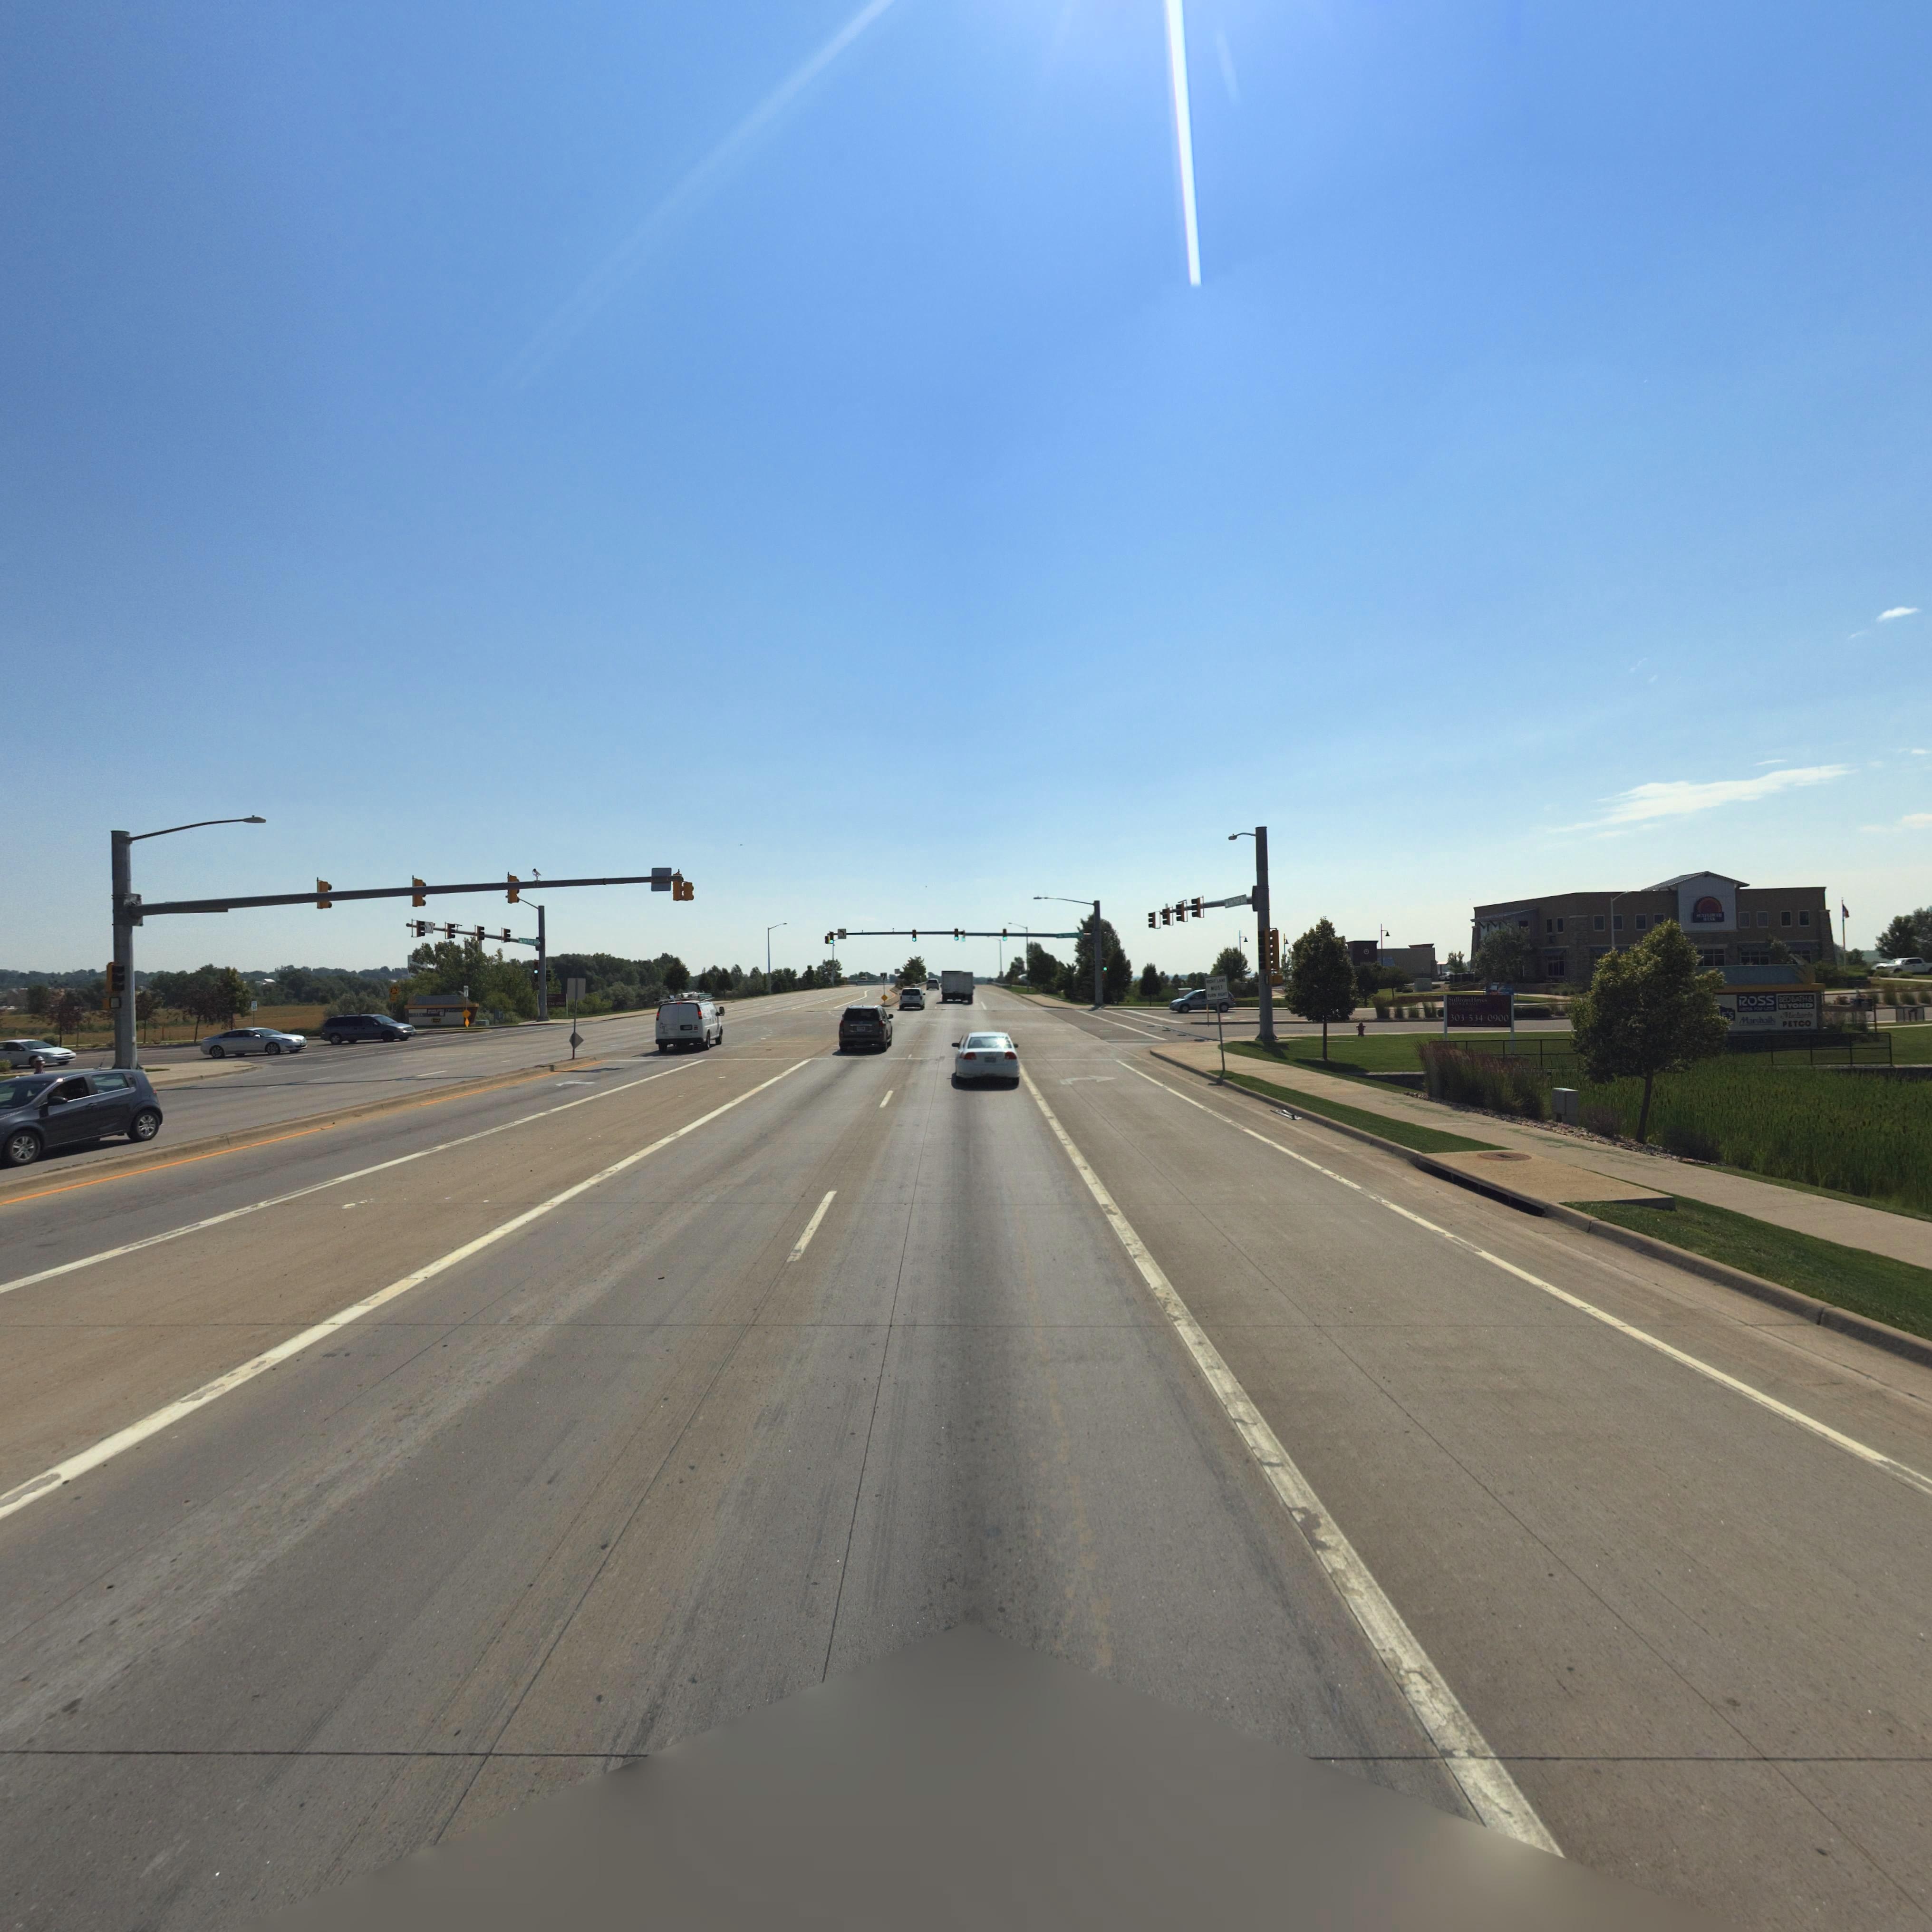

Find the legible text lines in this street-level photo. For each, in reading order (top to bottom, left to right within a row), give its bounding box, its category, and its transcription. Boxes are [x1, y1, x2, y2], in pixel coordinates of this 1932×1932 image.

[1227, 895, 1247, 907] StreetName: *e* P**** B***
[1739, 995, 1775, 1006] BusinessName: ROSS
[1778, 995, 1814, 1003] BusinessName: BEDBATH&
[1753, 1006, 1763, 1011] BusinessName: FOR
[1778, 1002, 1814, 1009] BusinessName: BEYOND
[1721, 1010, 1734, 1019] BusinessName: E'S
[1778, 1011, 1813, 1019] BusinessName: M*******
[1738, 1015, 1776, 1024] BusinessName: Marshalls
[1782, 1020, 1811, 1027] BusinessName: PETCO